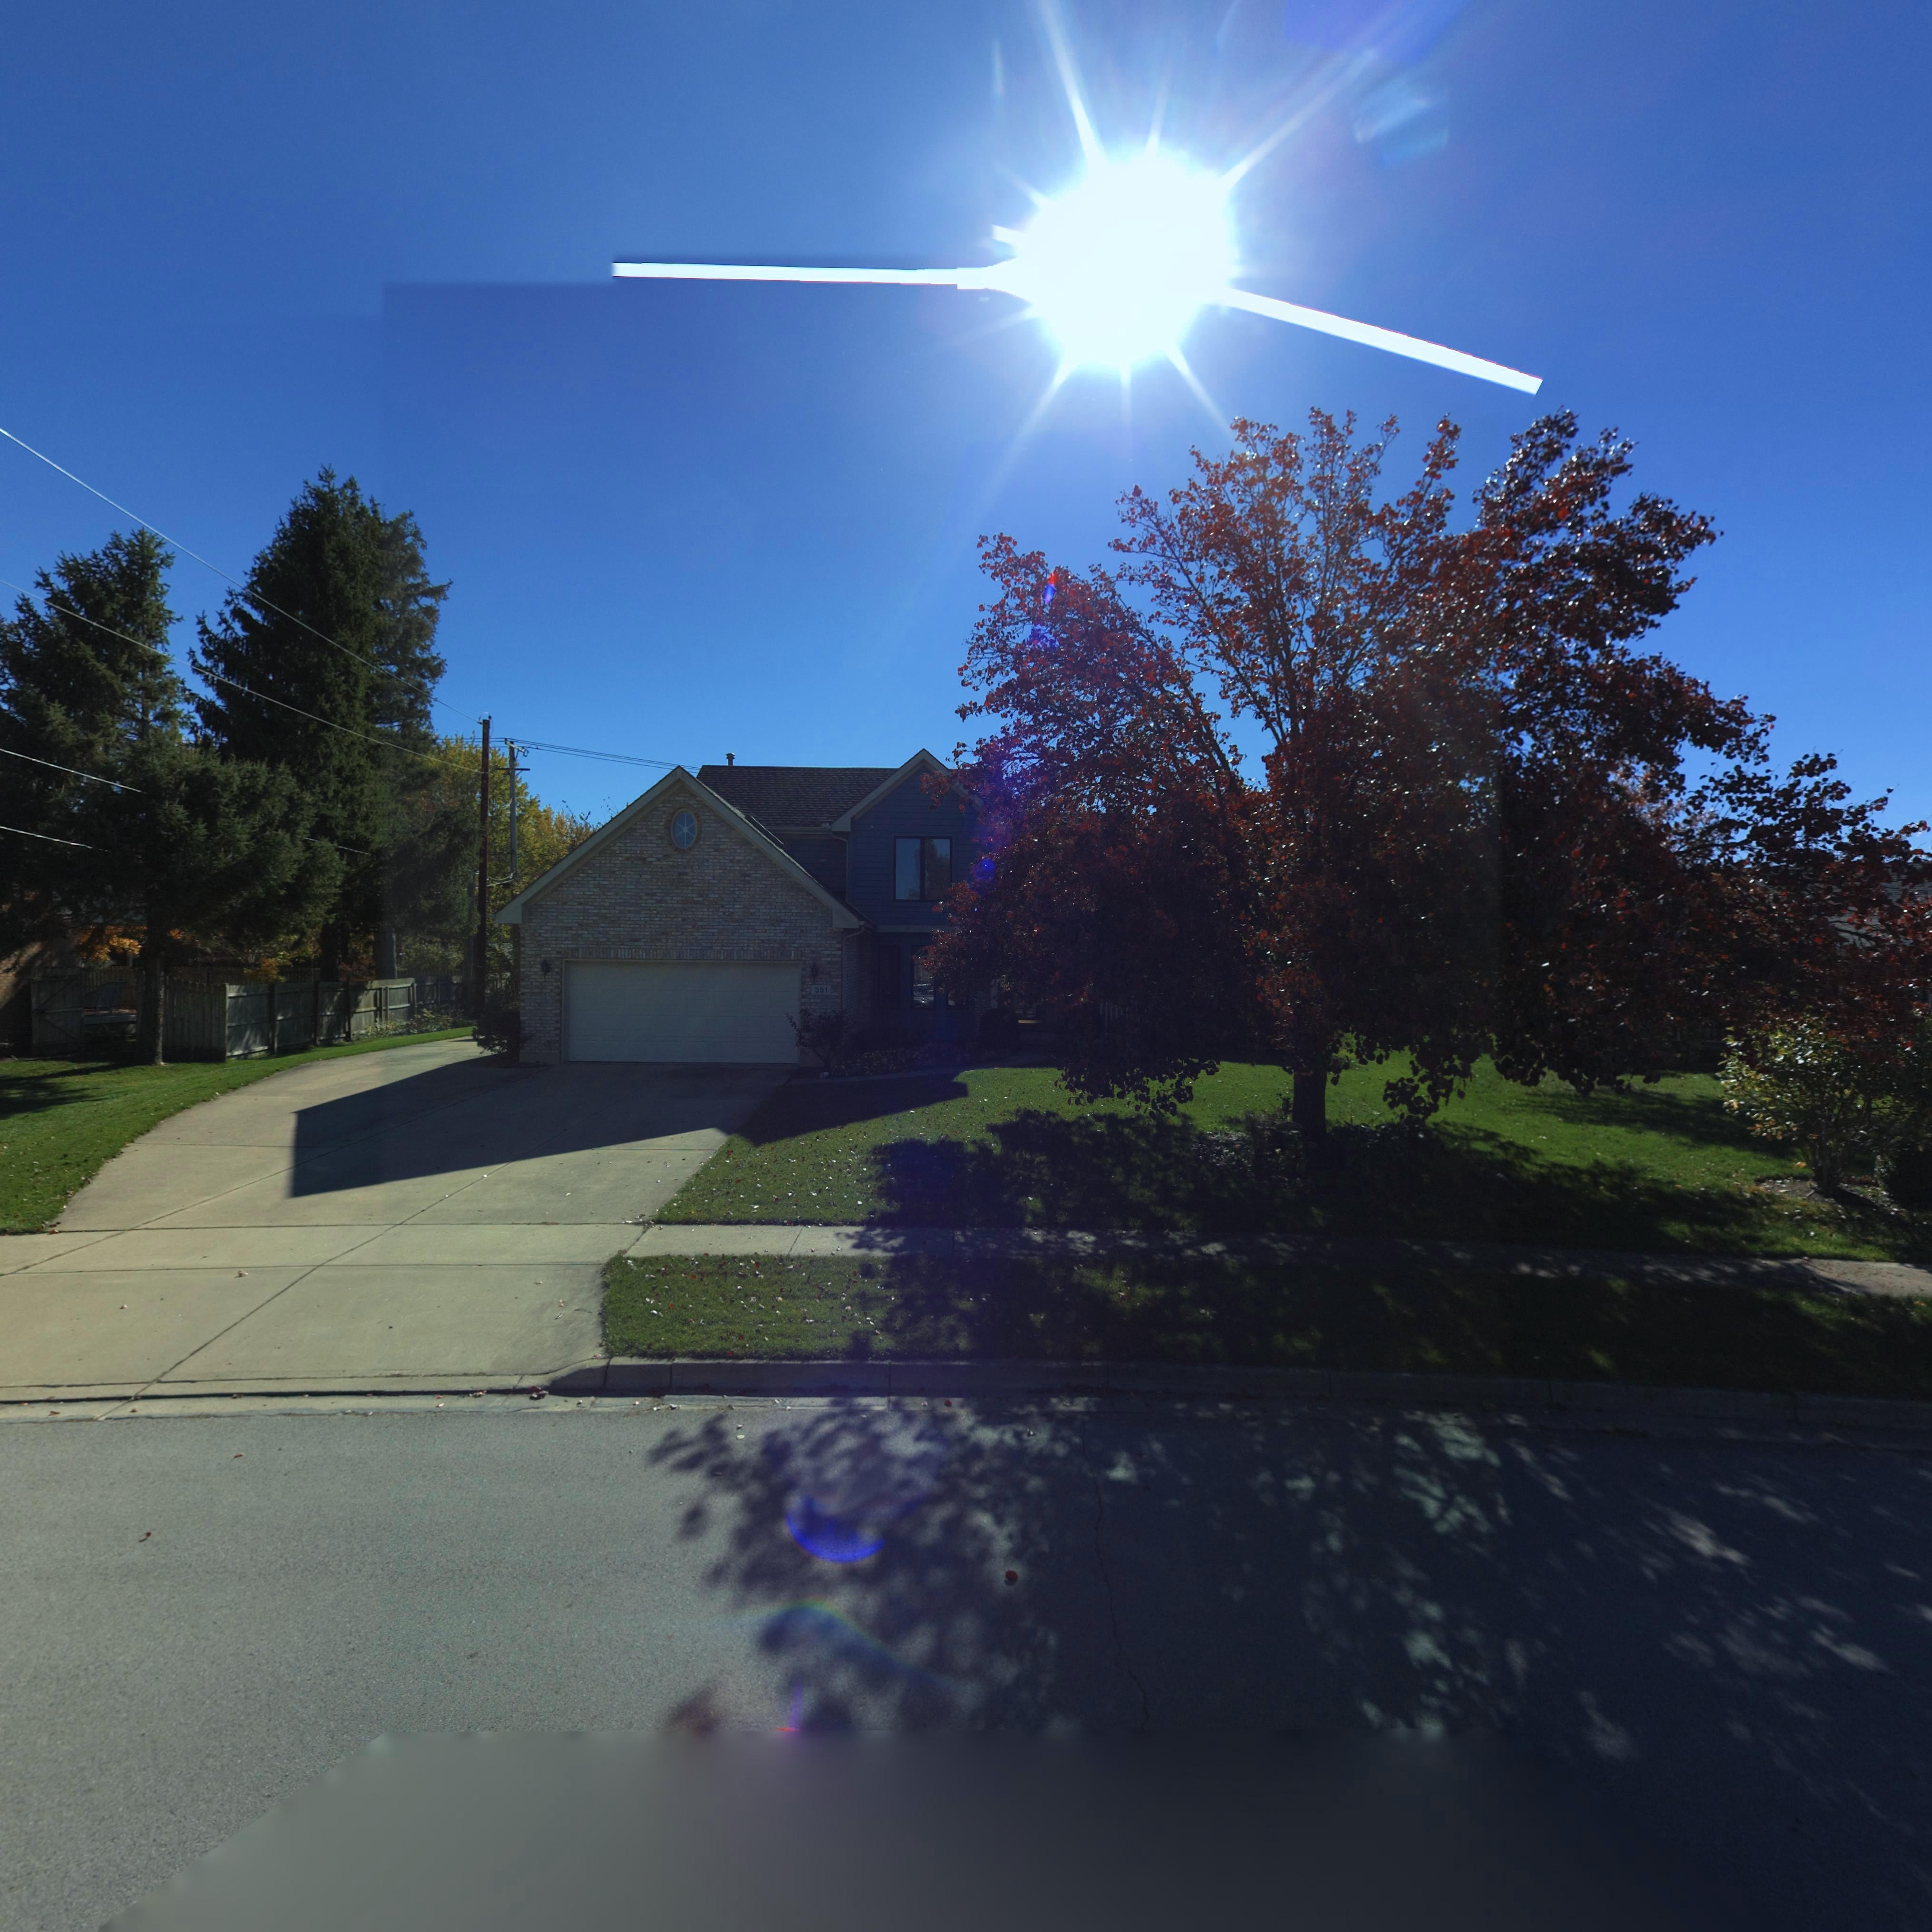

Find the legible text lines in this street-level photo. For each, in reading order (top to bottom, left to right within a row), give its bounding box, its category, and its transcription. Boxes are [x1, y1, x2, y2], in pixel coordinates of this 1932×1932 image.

[814, 986, 828, 994] StreetNumber: 351